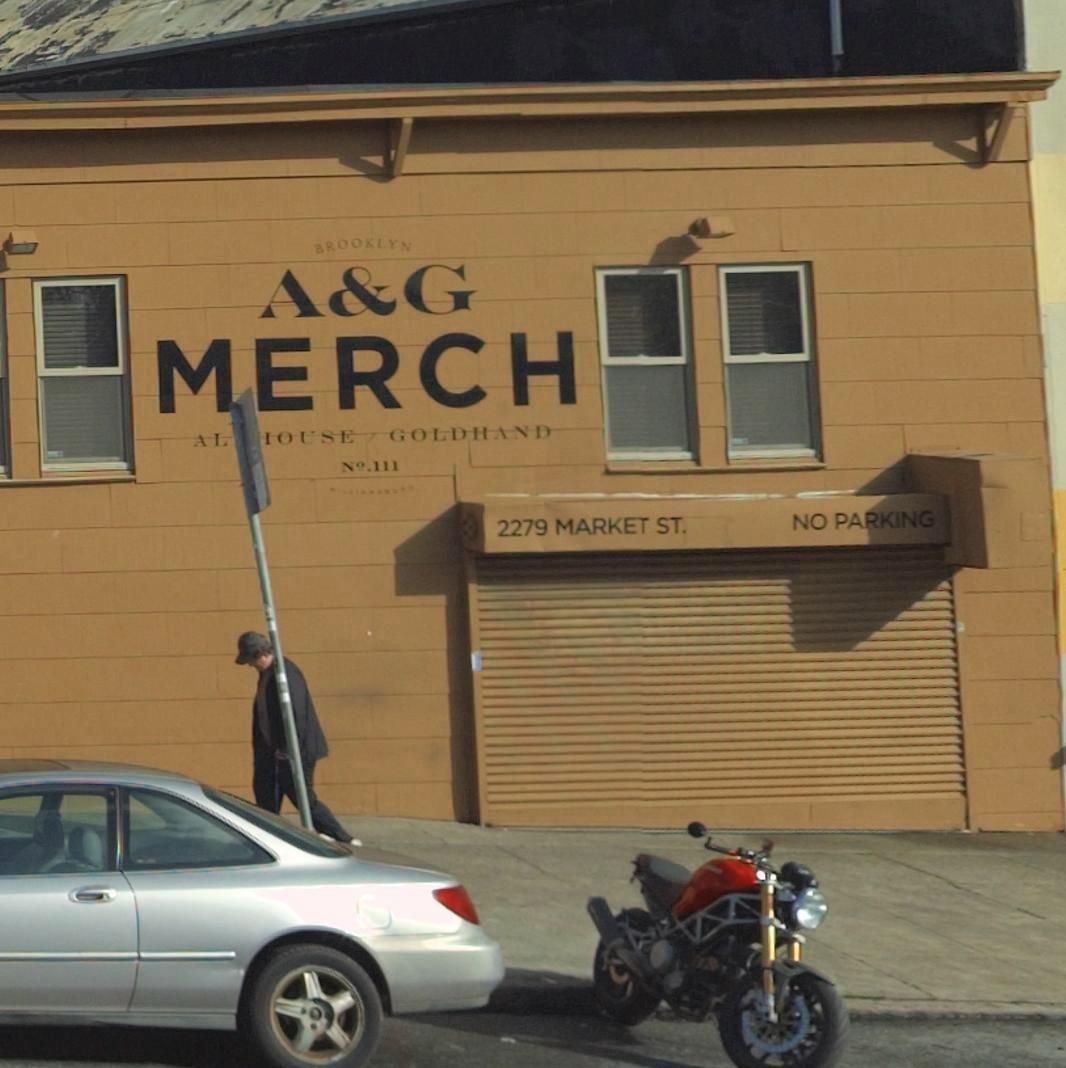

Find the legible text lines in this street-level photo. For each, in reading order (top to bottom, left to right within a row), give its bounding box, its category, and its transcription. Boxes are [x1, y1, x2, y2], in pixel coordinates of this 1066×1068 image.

[309, 235, 418, 255] BusinessName: BROOKLYN
[249, 262, 495, 319] BusinessName: A&G
[154, 329, 579, 416] BusinessName: MERCH
[193, 432, 231, 449] BusinessName: AL
[261, 428, 356, 448] BusinessName: *OUSE
[388, 423, 553, 444] BusinessName: GOLDHAND
[338, 458, 400, 474] None: NO.111
[494, 515, 689, 539] StreetNumber: 2279 MARKET ST.
[791, 508, 936, 532] None: NO PARKING